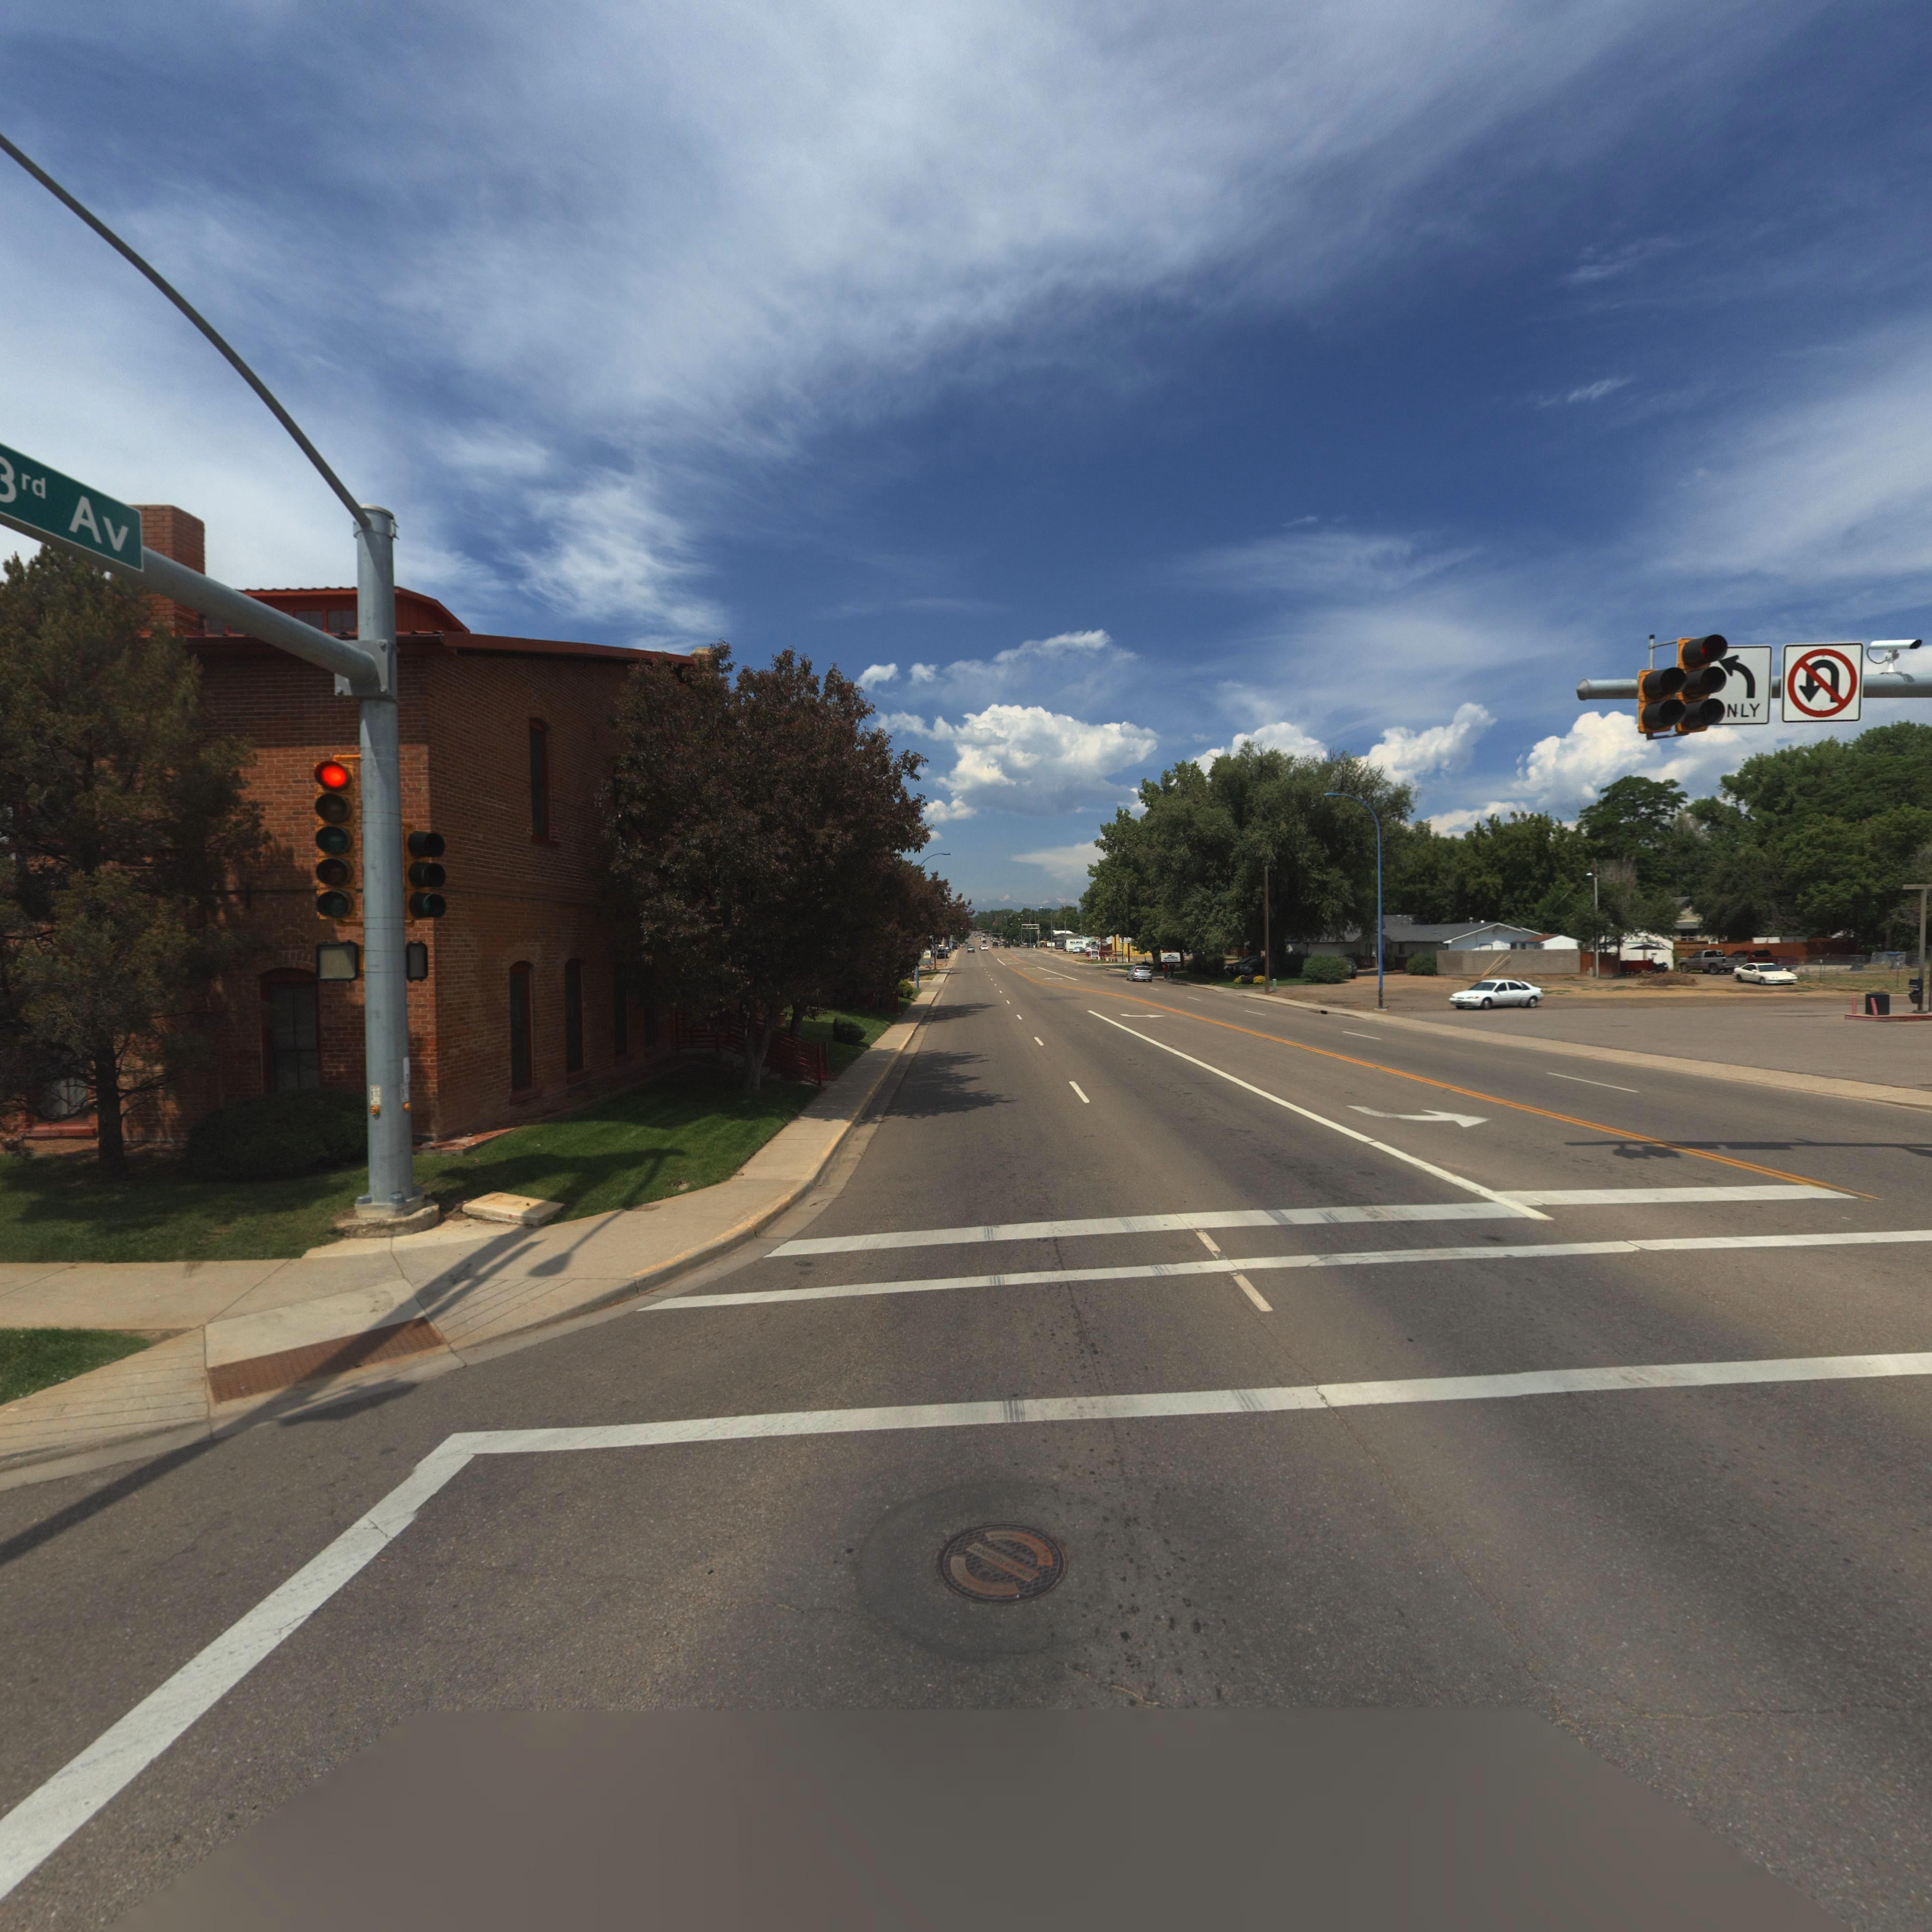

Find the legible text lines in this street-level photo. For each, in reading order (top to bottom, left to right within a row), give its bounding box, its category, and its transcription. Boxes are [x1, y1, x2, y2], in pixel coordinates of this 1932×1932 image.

[19, 469, 131, 556] StreetName: rd Av